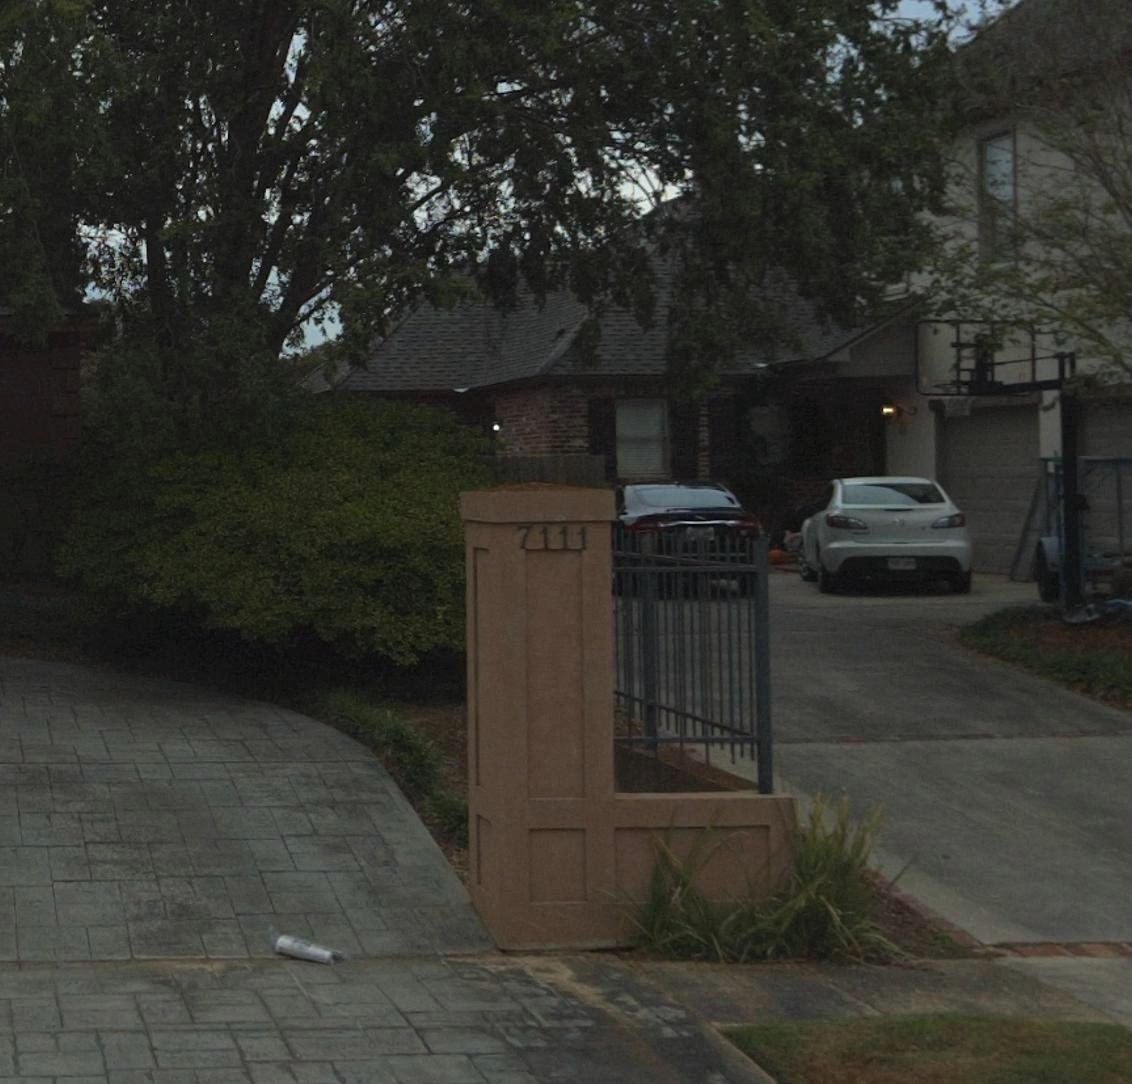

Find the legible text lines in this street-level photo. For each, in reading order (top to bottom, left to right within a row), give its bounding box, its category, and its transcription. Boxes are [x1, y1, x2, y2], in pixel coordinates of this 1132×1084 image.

[513, 522, 590, 549] StreetNumber: 7111